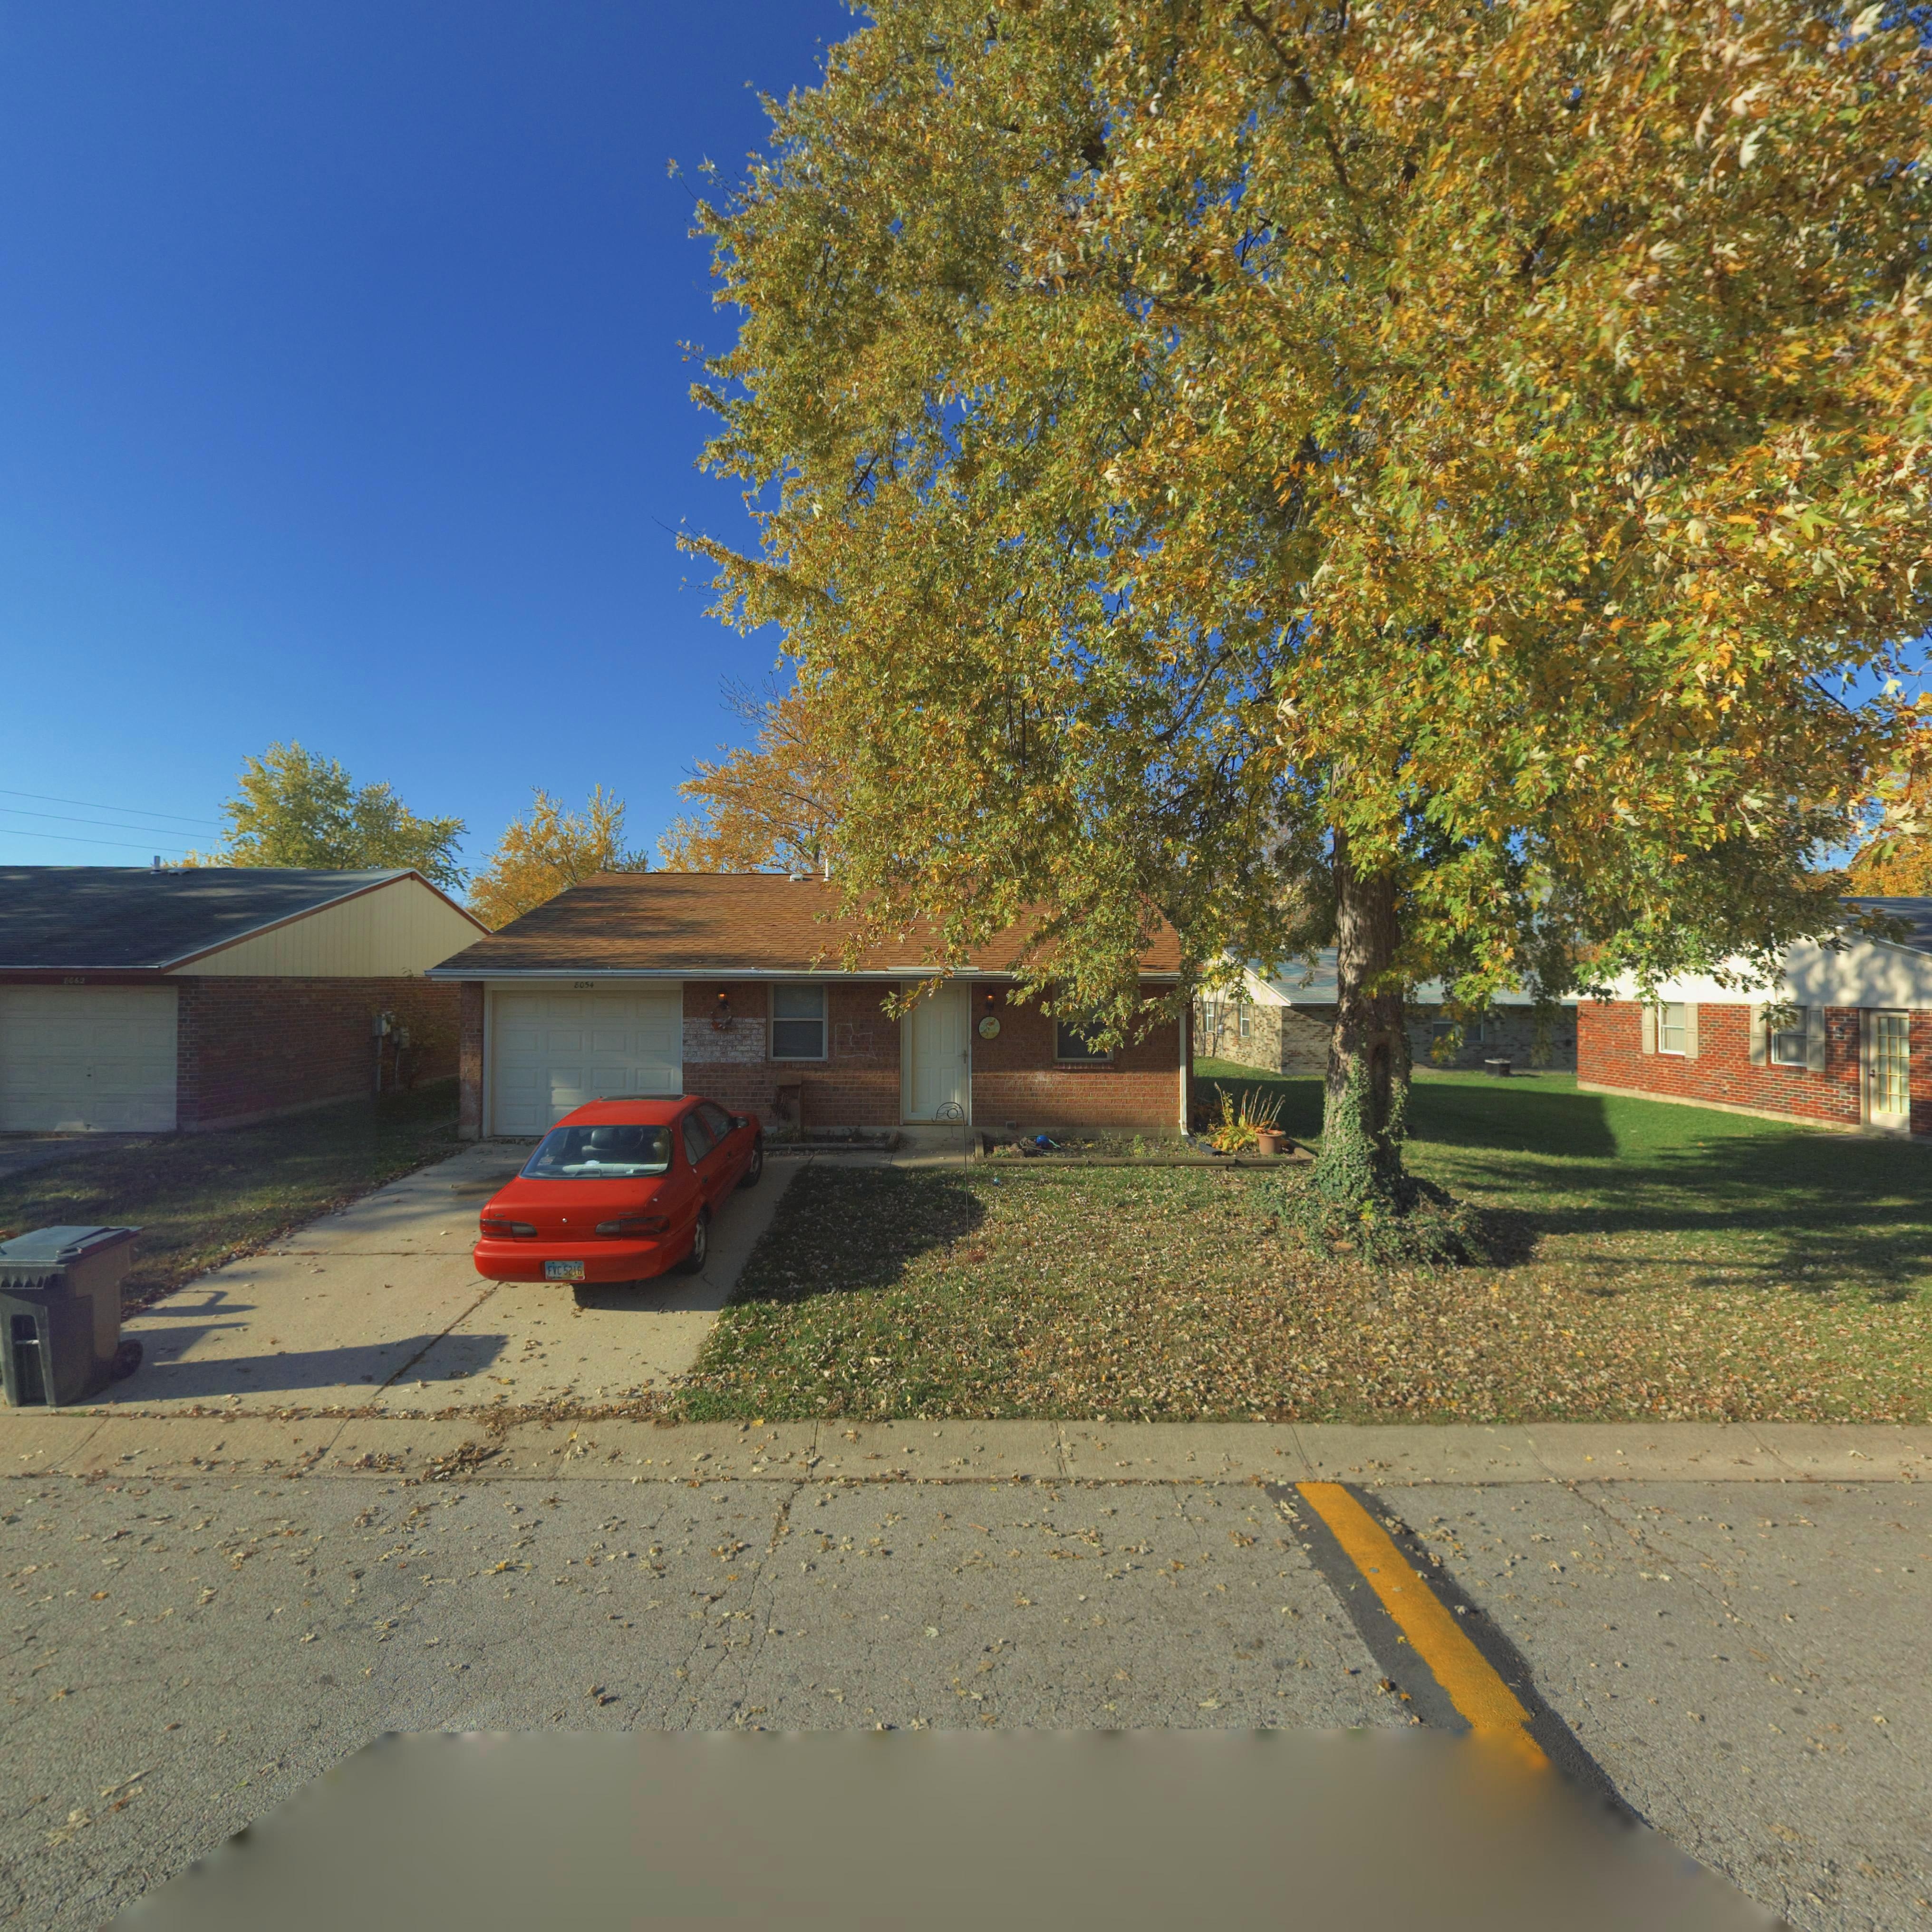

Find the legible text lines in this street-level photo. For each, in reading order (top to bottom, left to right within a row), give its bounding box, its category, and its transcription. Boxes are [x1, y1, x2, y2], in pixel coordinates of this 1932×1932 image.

[61, 976, 87, 986] StreetNumber: *062
[572, 980, 595, 990] StreetNumber: 8054